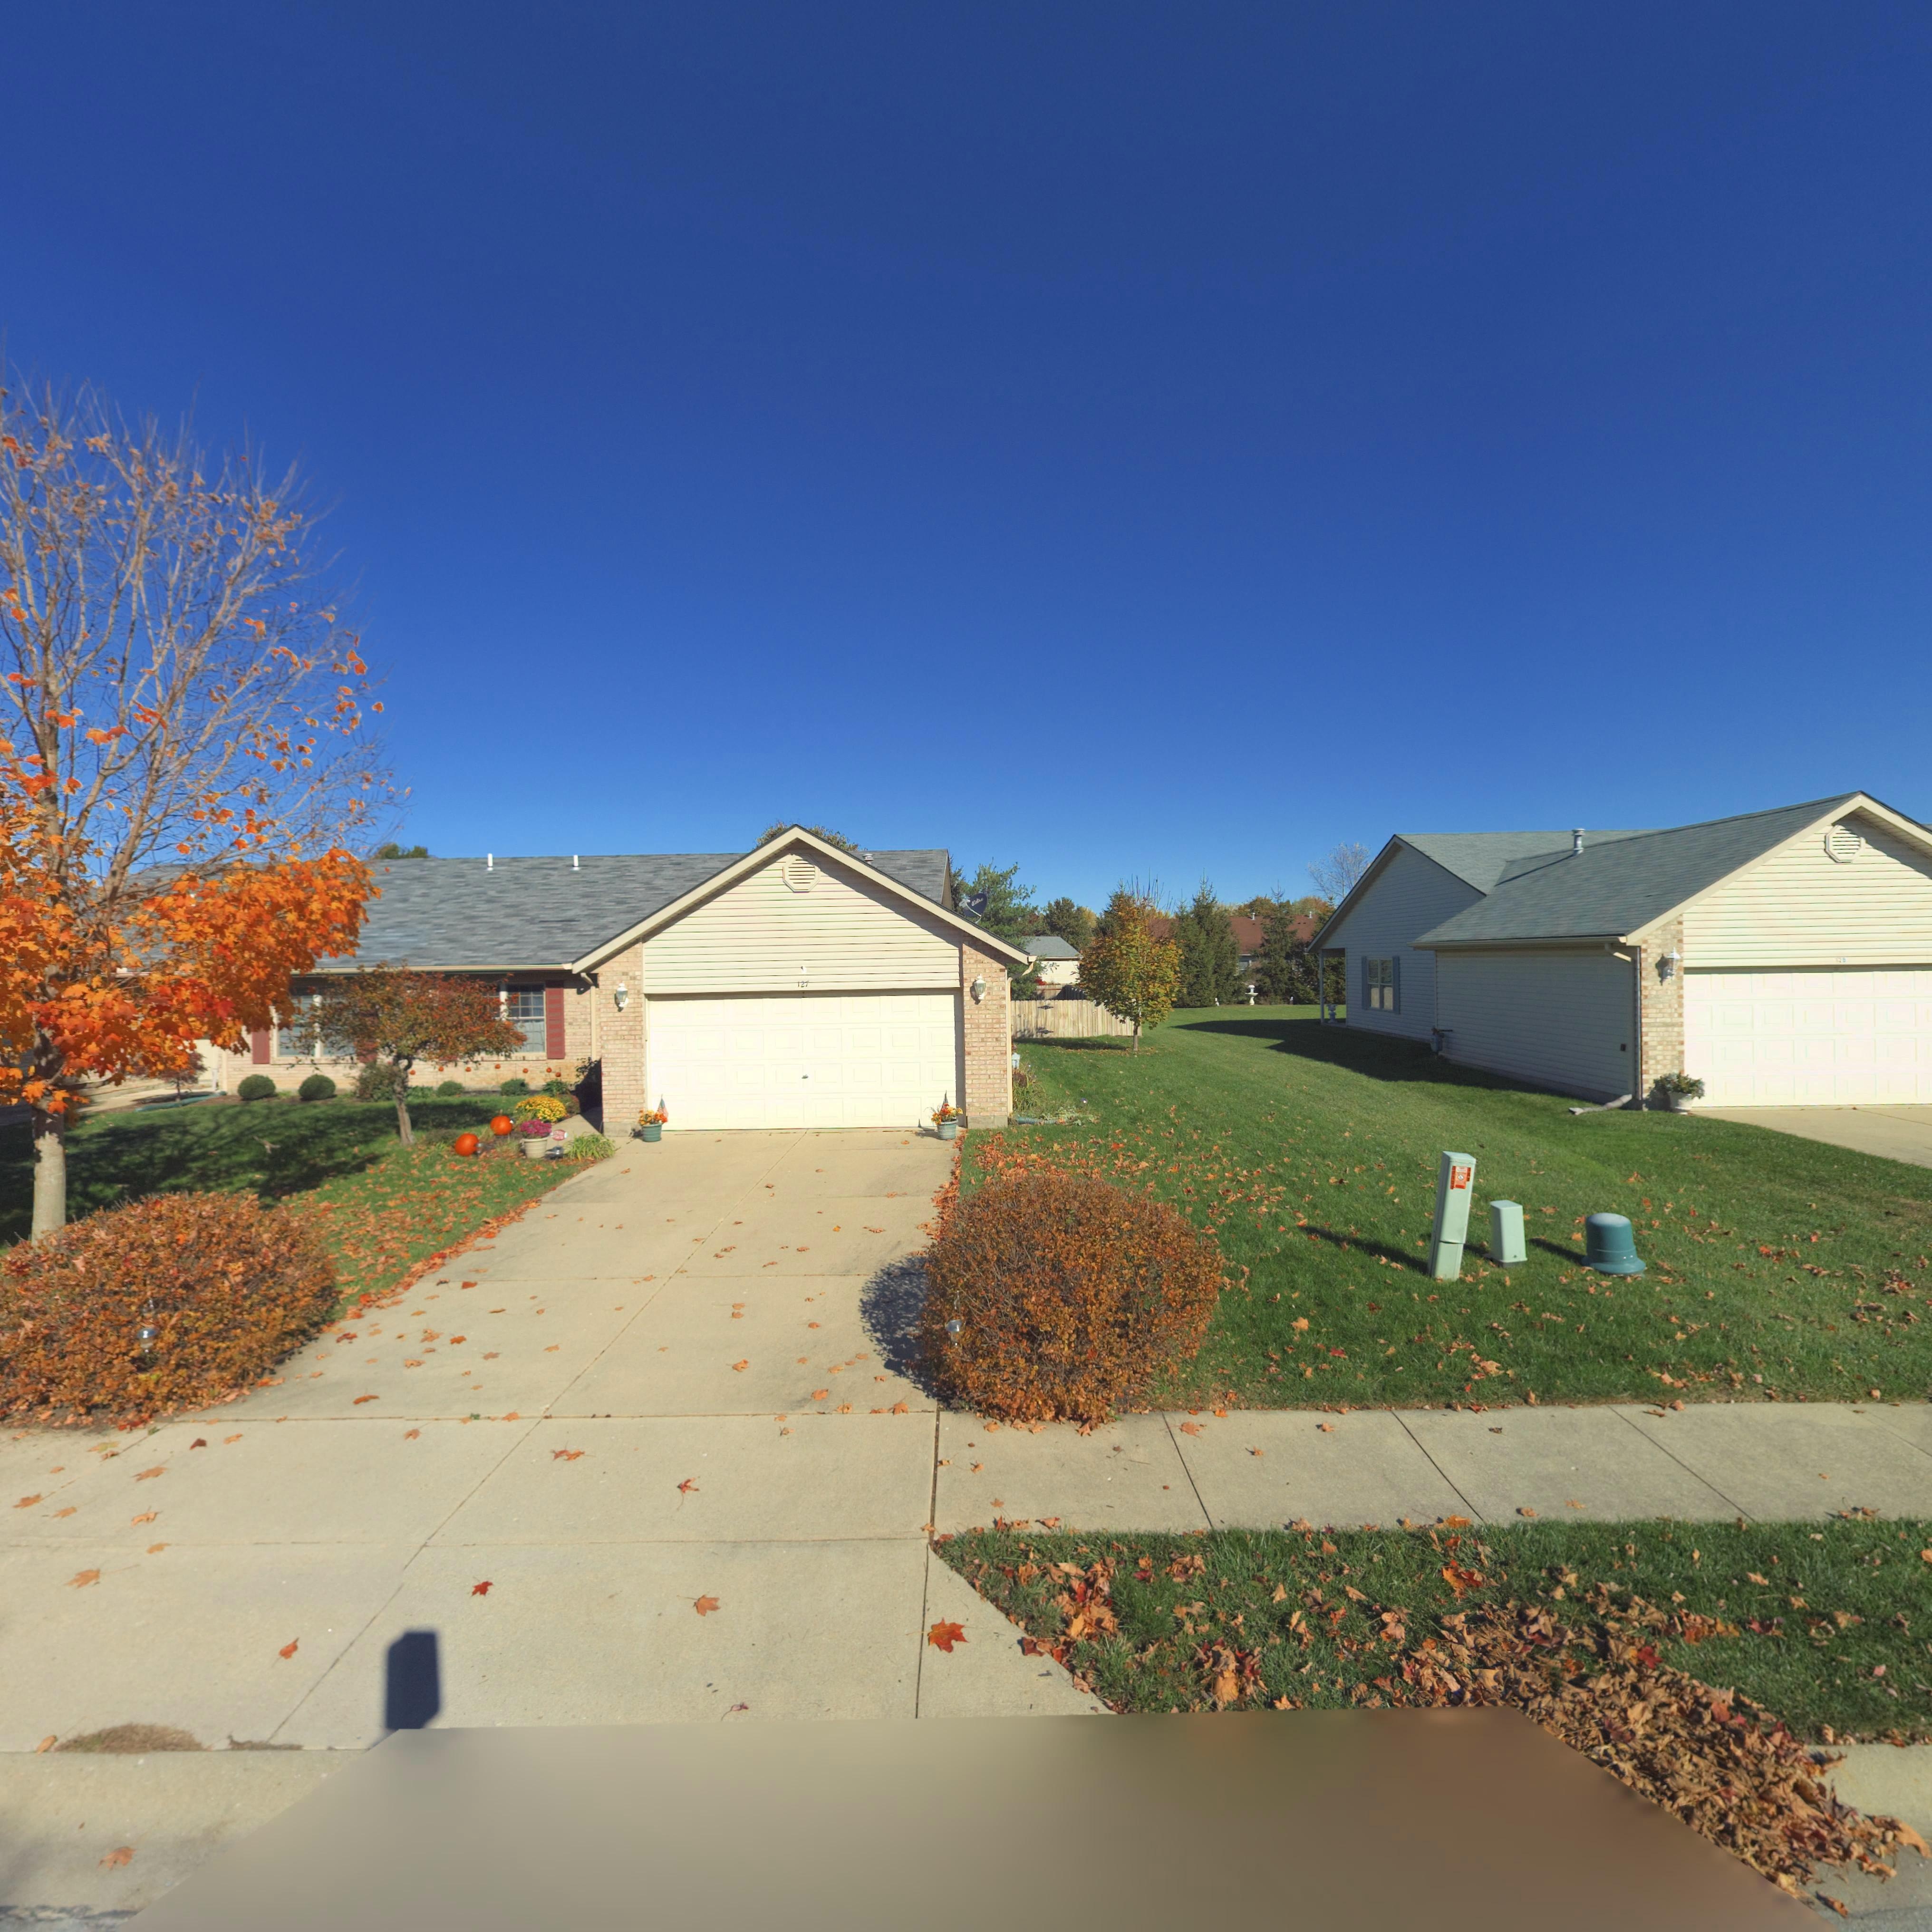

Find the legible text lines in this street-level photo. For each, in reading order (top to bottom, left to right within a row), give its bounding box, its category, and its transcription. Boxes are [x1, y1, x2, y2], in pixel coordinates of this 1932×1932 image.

[1835, 956, 1846, 963] StreetNumber: 12*
[797, 980, 809, 987] StreetNumber: 127